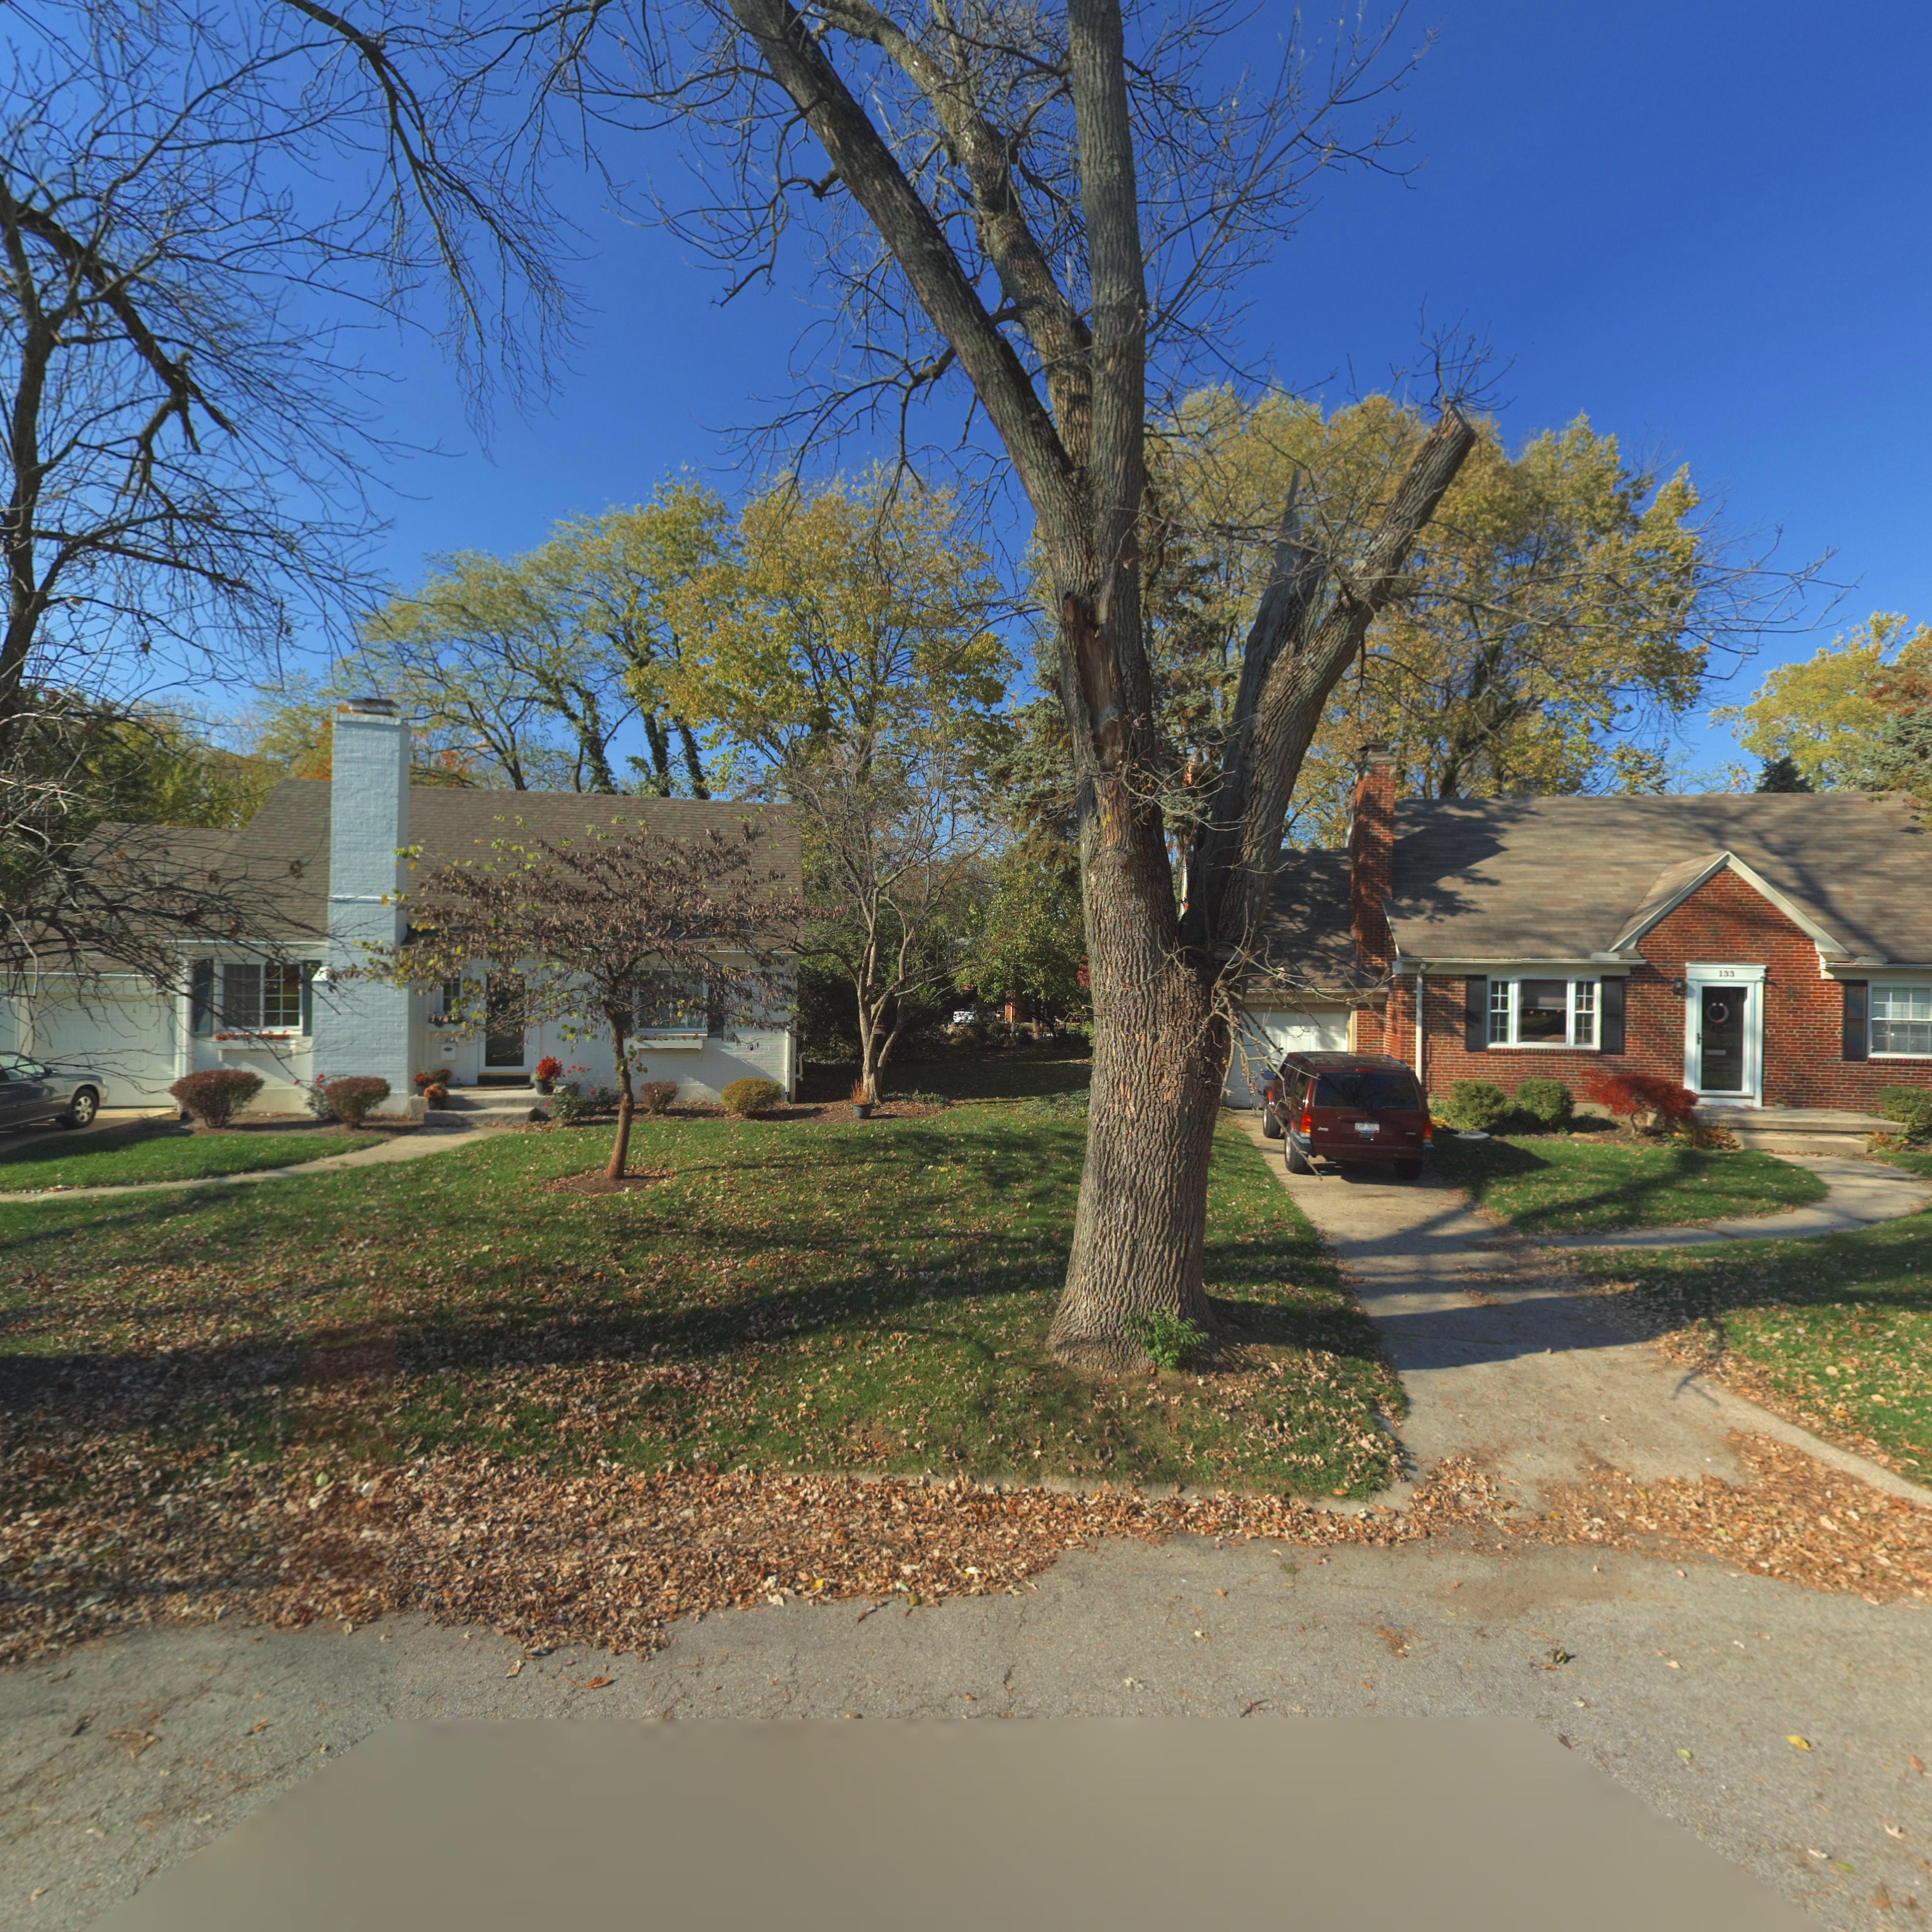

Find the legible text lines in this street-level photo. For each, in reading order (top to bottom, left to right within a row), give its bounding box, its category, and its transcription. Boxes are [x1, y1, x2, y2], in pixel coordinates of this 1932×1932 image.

[1719, 969, 1736, 978] StreetNumber: 133